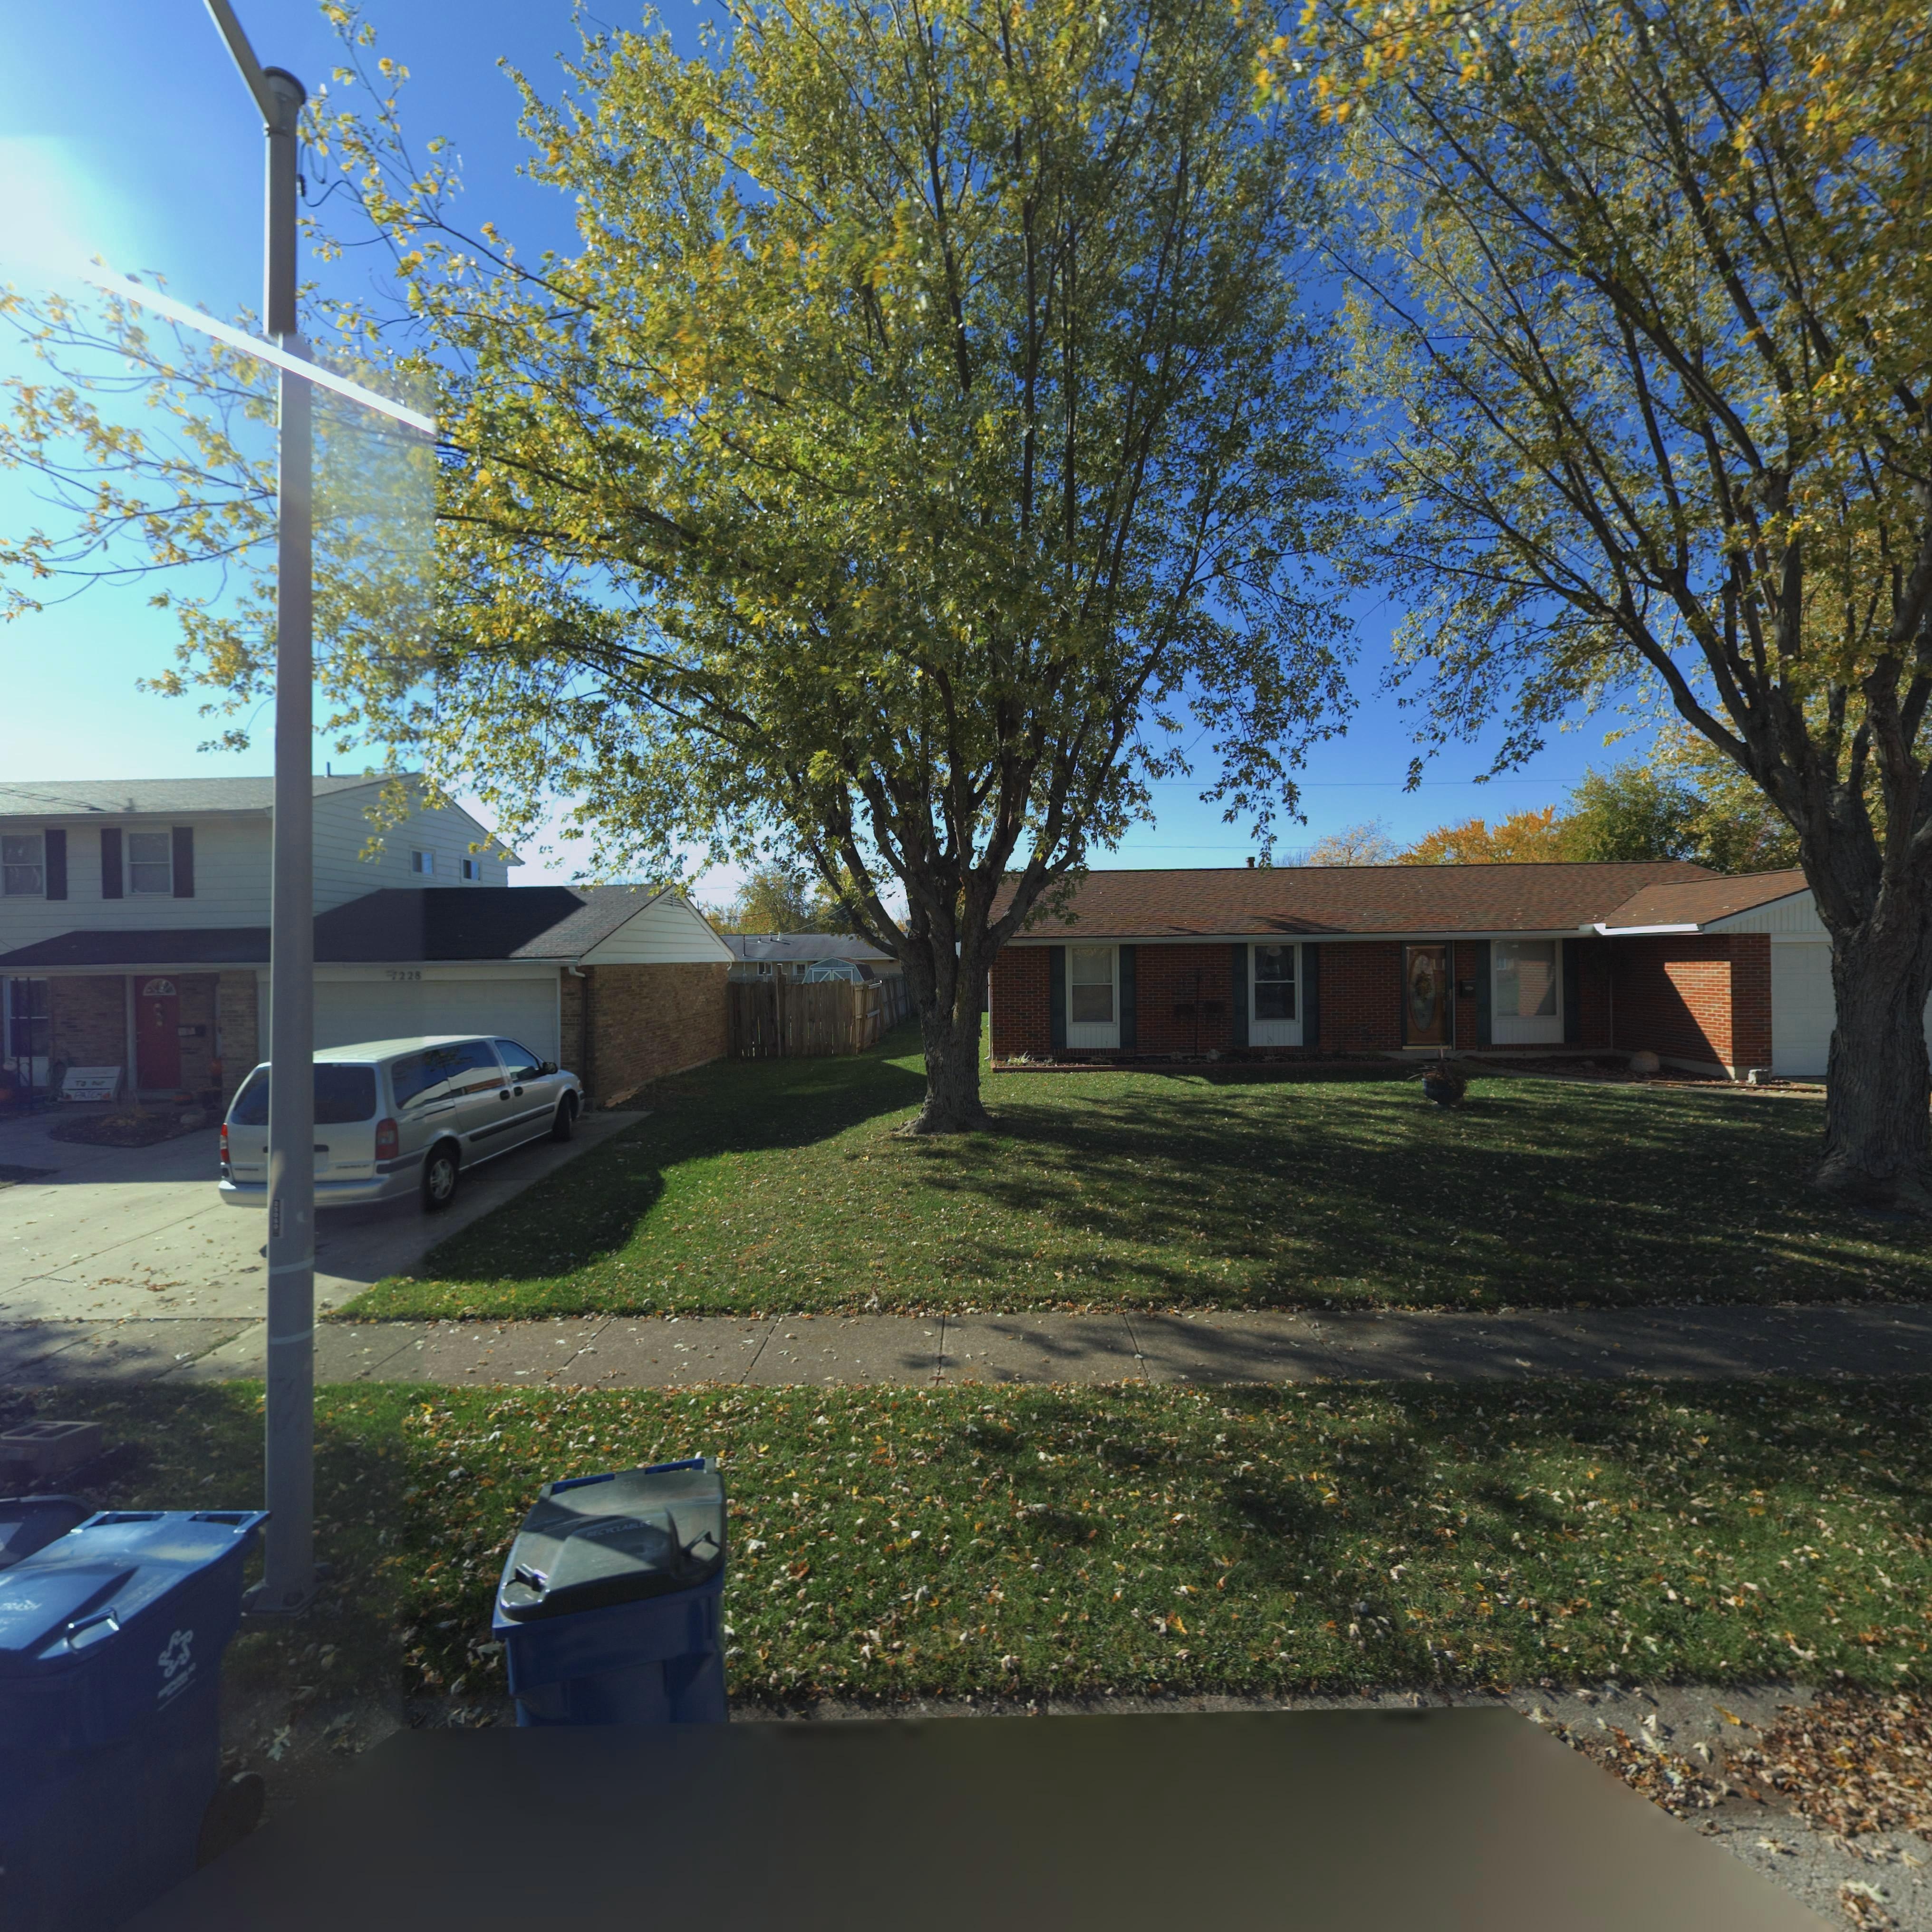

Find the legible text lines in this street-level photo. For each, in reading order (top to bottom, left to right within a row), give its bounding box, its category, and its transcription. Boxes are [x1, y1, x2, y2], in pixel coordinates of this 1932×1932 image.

[391, 969, 423, 982] StreetNumber: *228